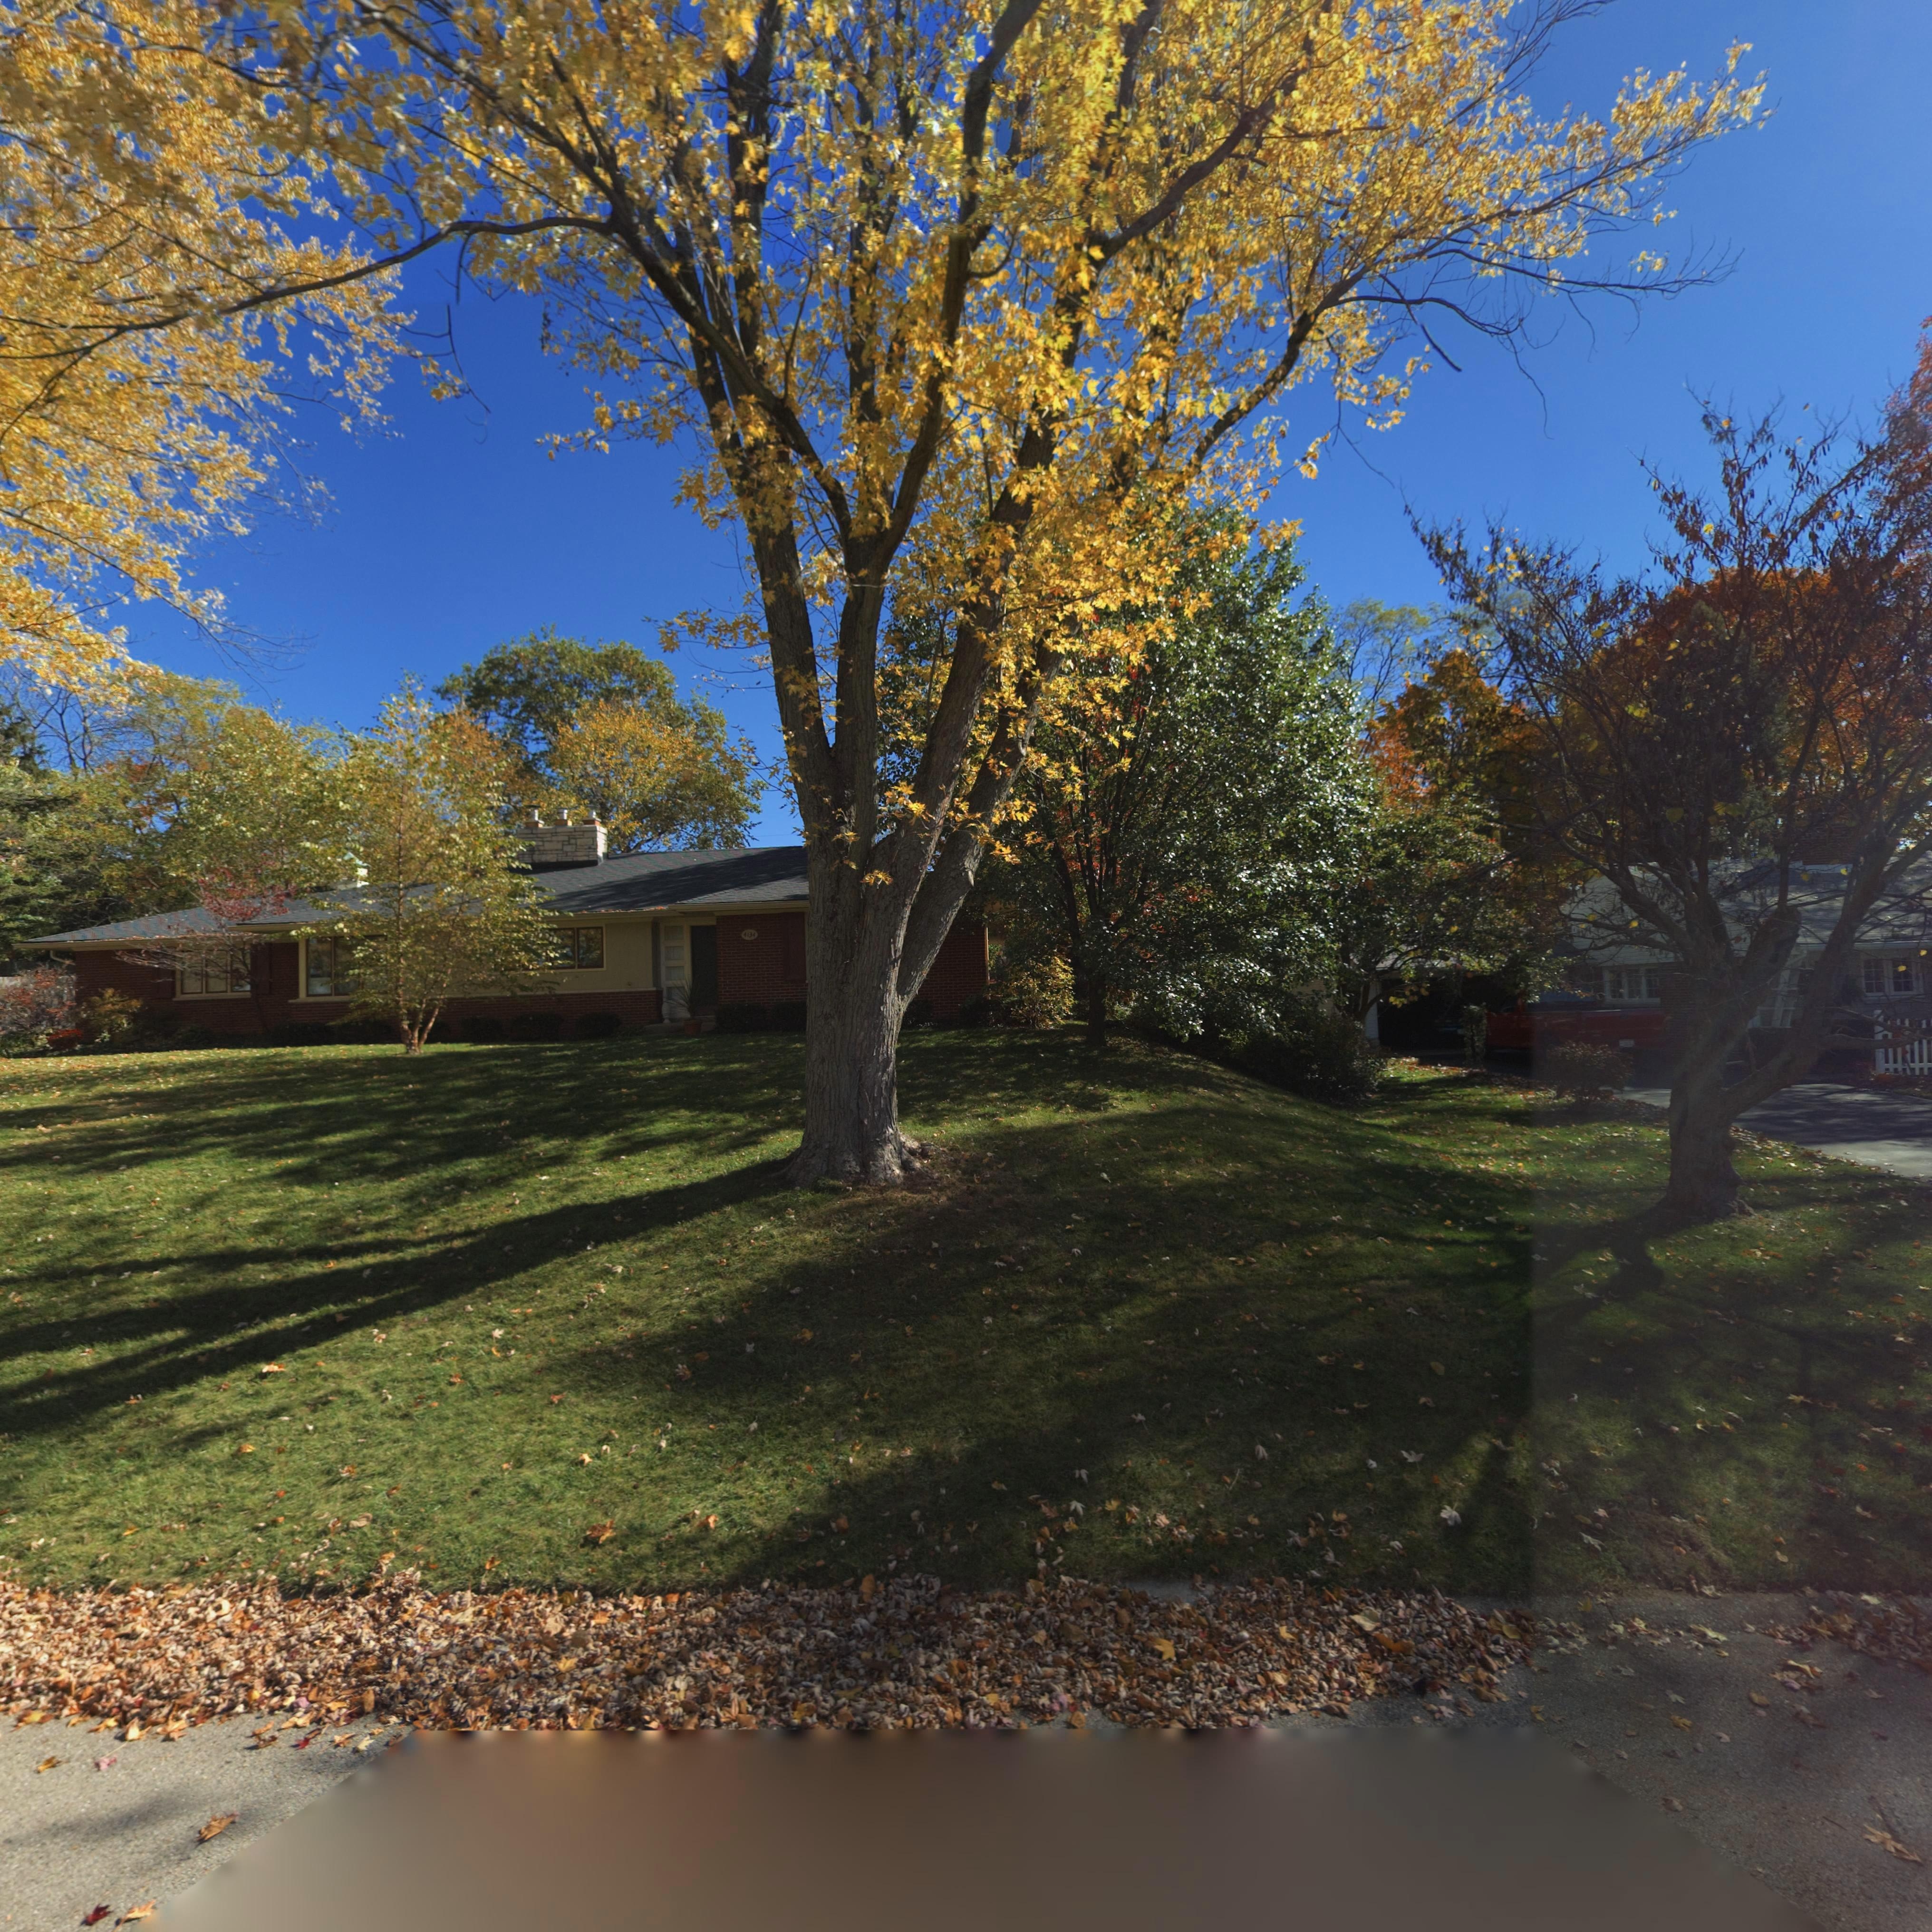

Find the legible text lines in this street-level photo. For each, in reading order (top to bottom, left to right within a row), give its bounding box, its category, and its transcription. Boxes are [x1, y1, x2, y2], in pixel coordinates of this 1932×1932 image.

[743, 931, 756, 938] StreetNumber: 4134